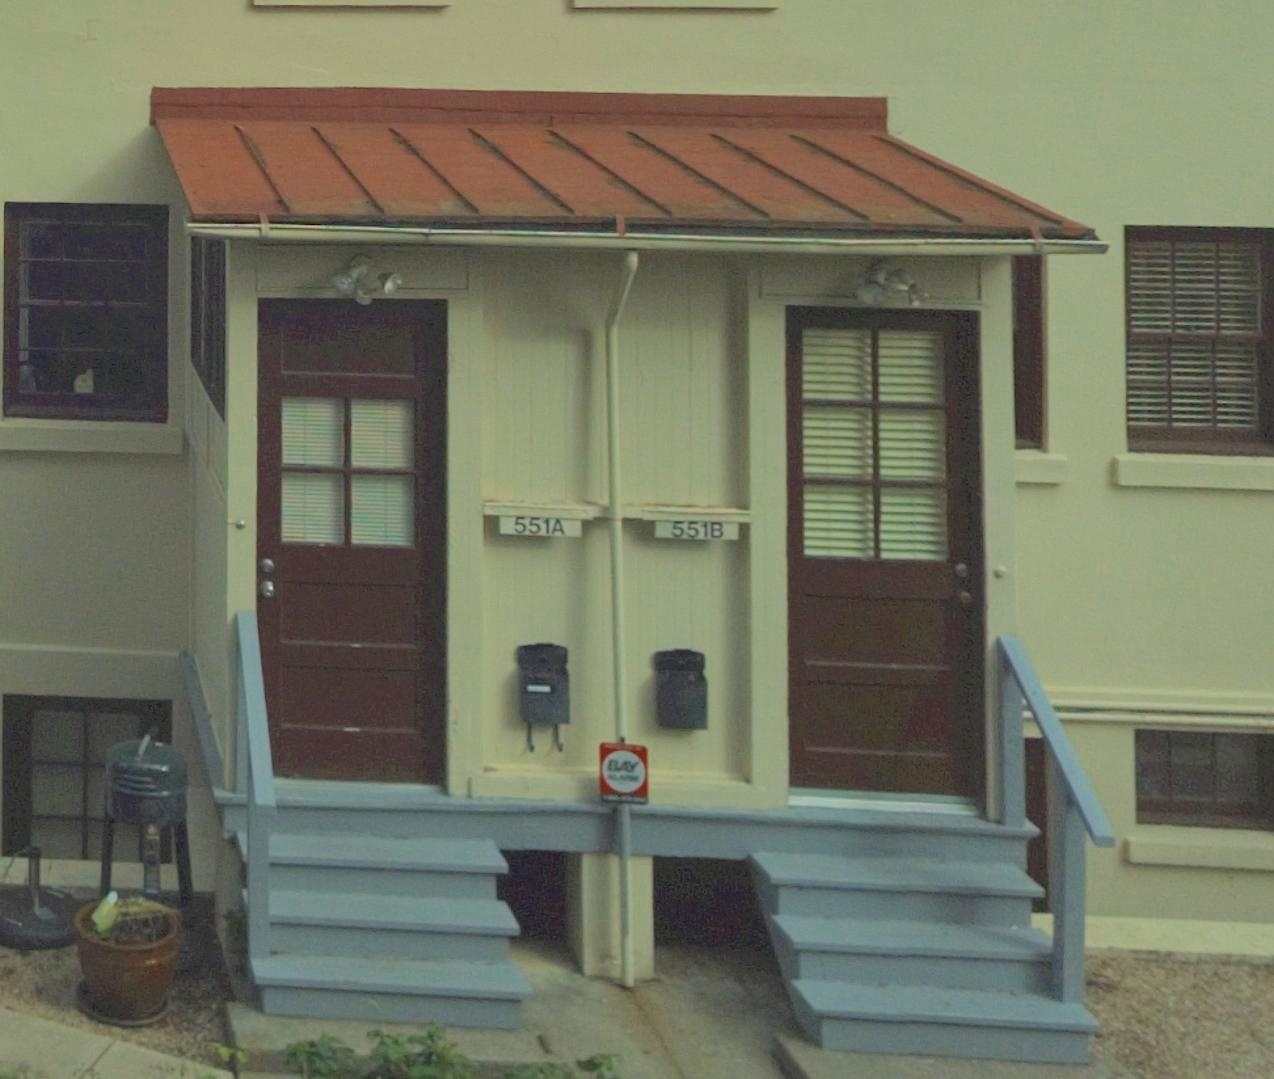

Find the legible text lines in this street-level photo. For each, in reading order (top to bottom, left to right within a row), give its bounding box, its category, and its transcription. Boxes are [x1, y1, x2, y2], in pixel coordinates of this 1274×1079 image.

[514, 516, 567, 536] StreetNumber: 551A
[671, 520, 724, 540] StreetNumber: 551B
[607, 759, 639, 772] None: BAy